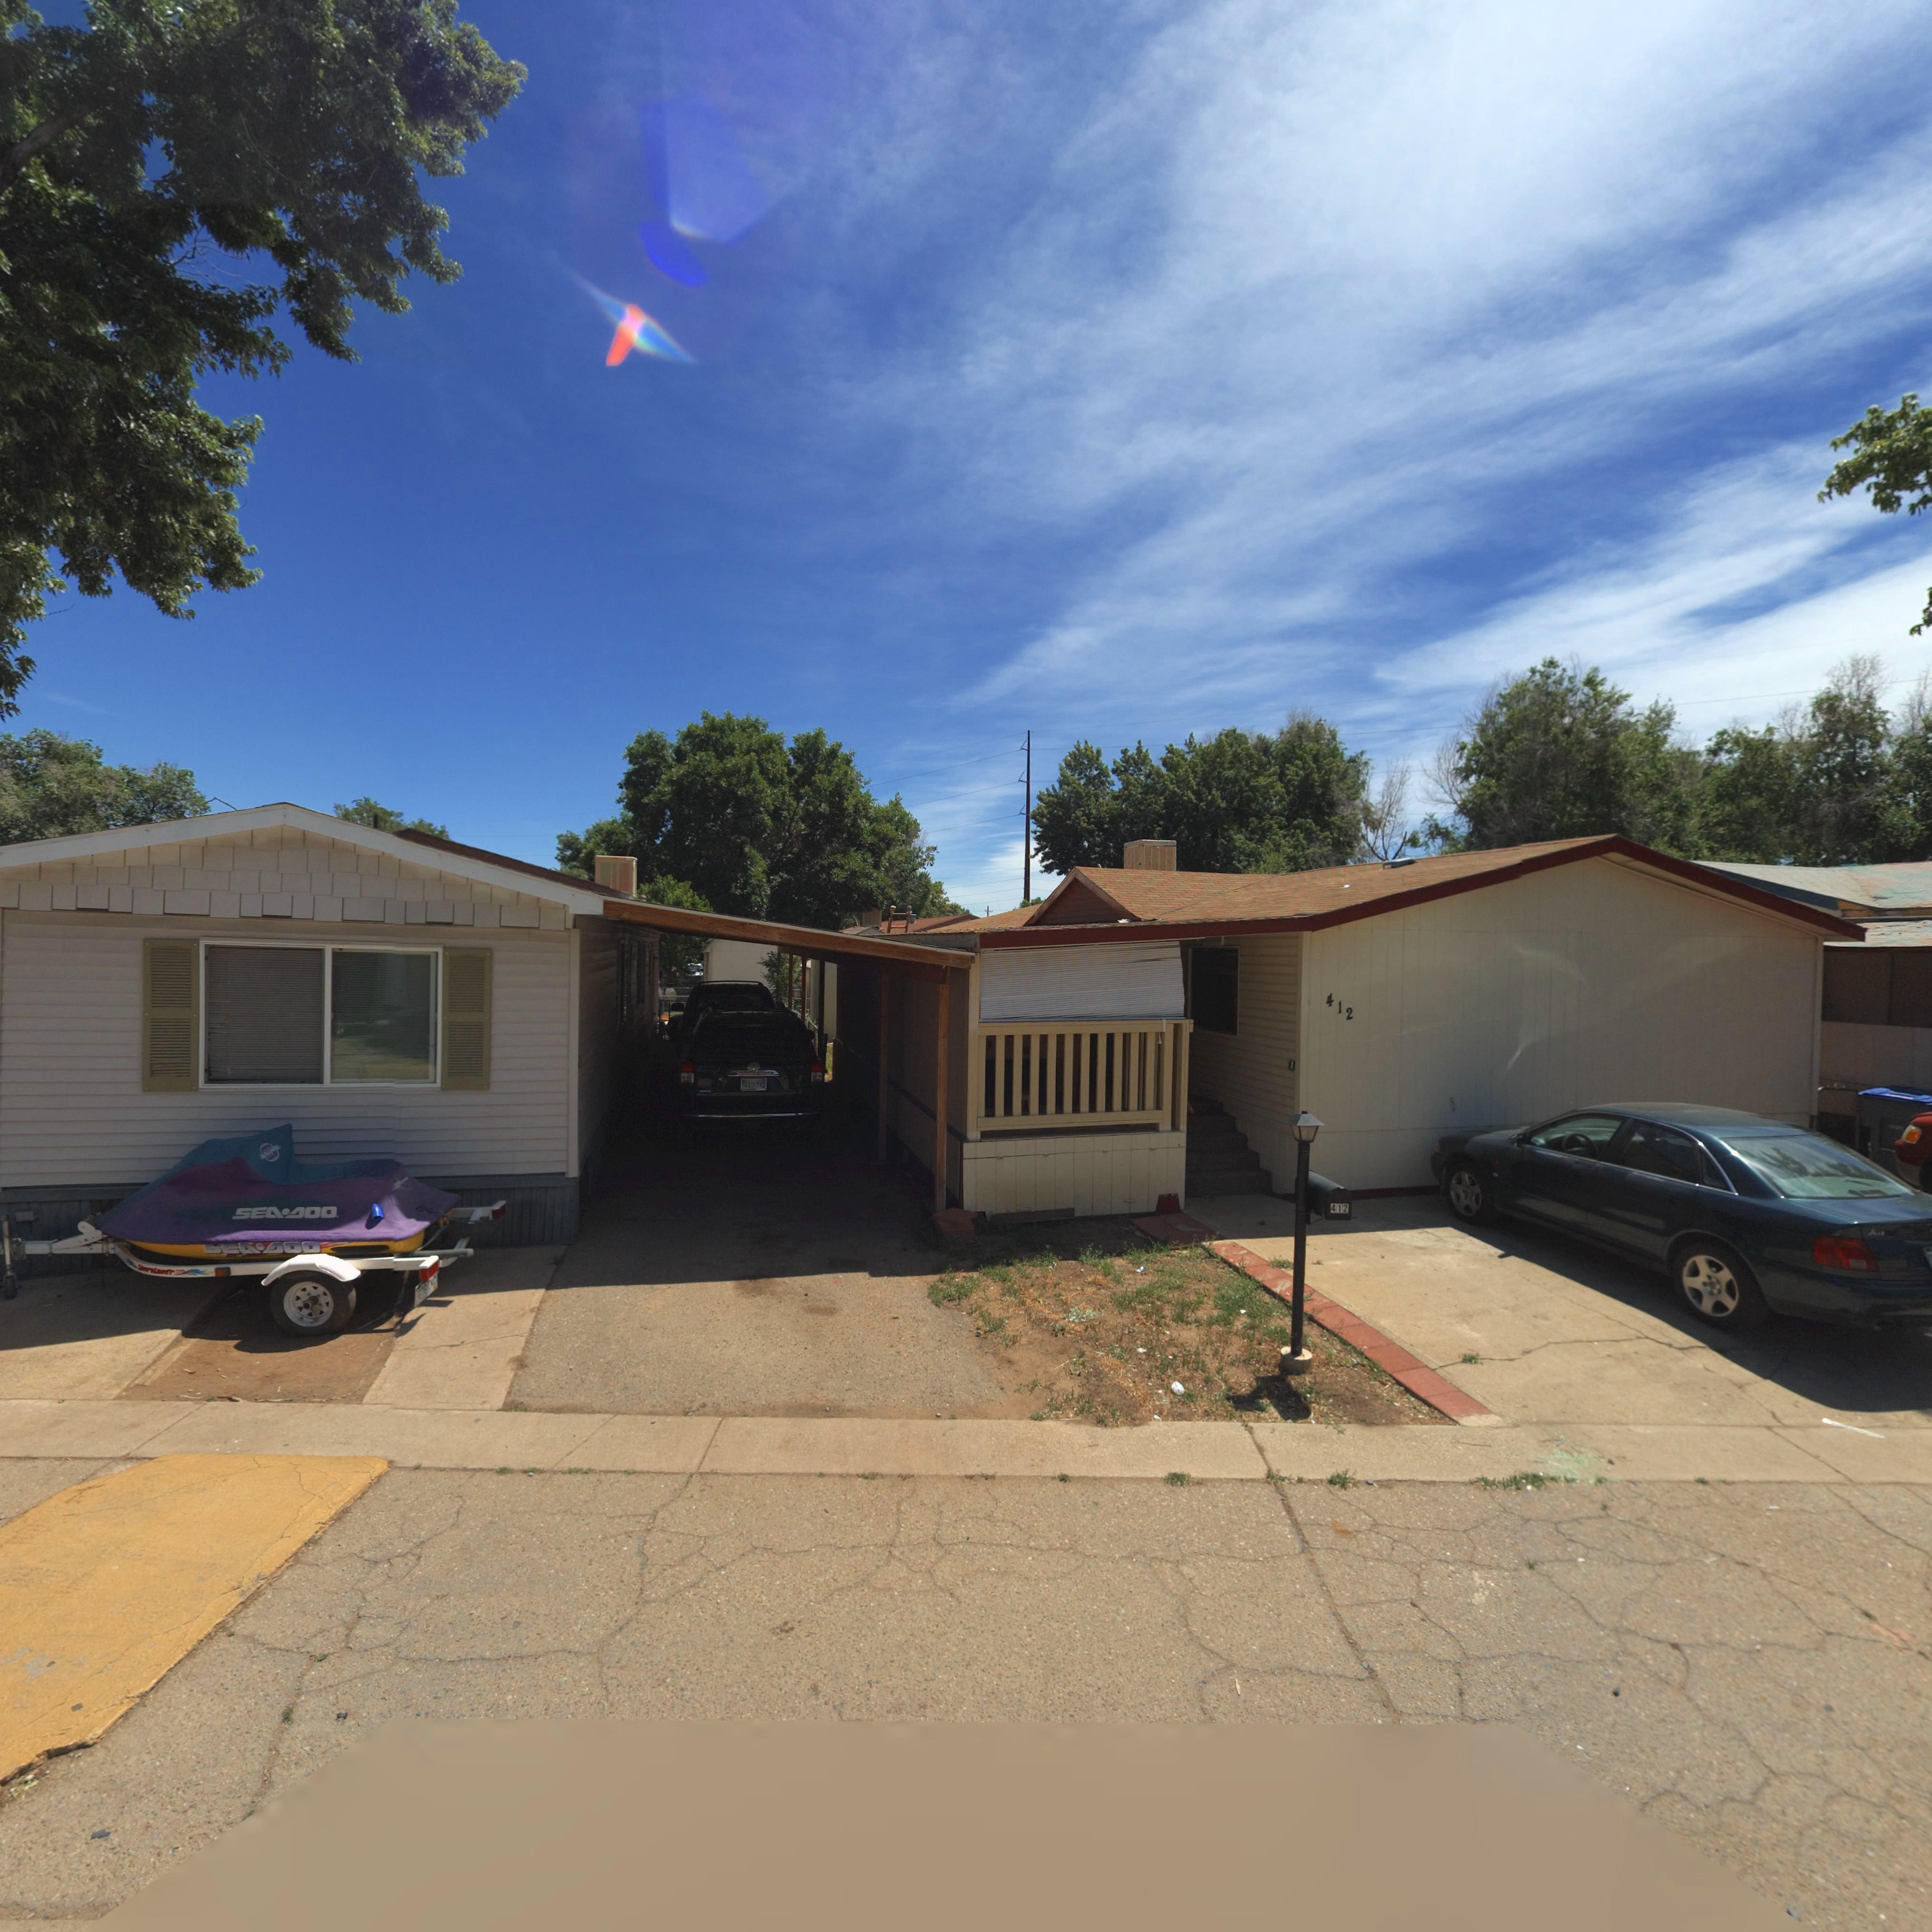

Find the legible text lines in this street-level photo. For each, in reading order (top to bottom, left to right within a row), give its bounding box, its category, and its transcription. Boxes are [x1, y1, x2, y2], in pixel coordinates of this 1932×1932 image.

[1325, 992, 1353, 1020] StreetNumber: 412
[1331, 1204, 1347, 1212] StreetNumber: 412